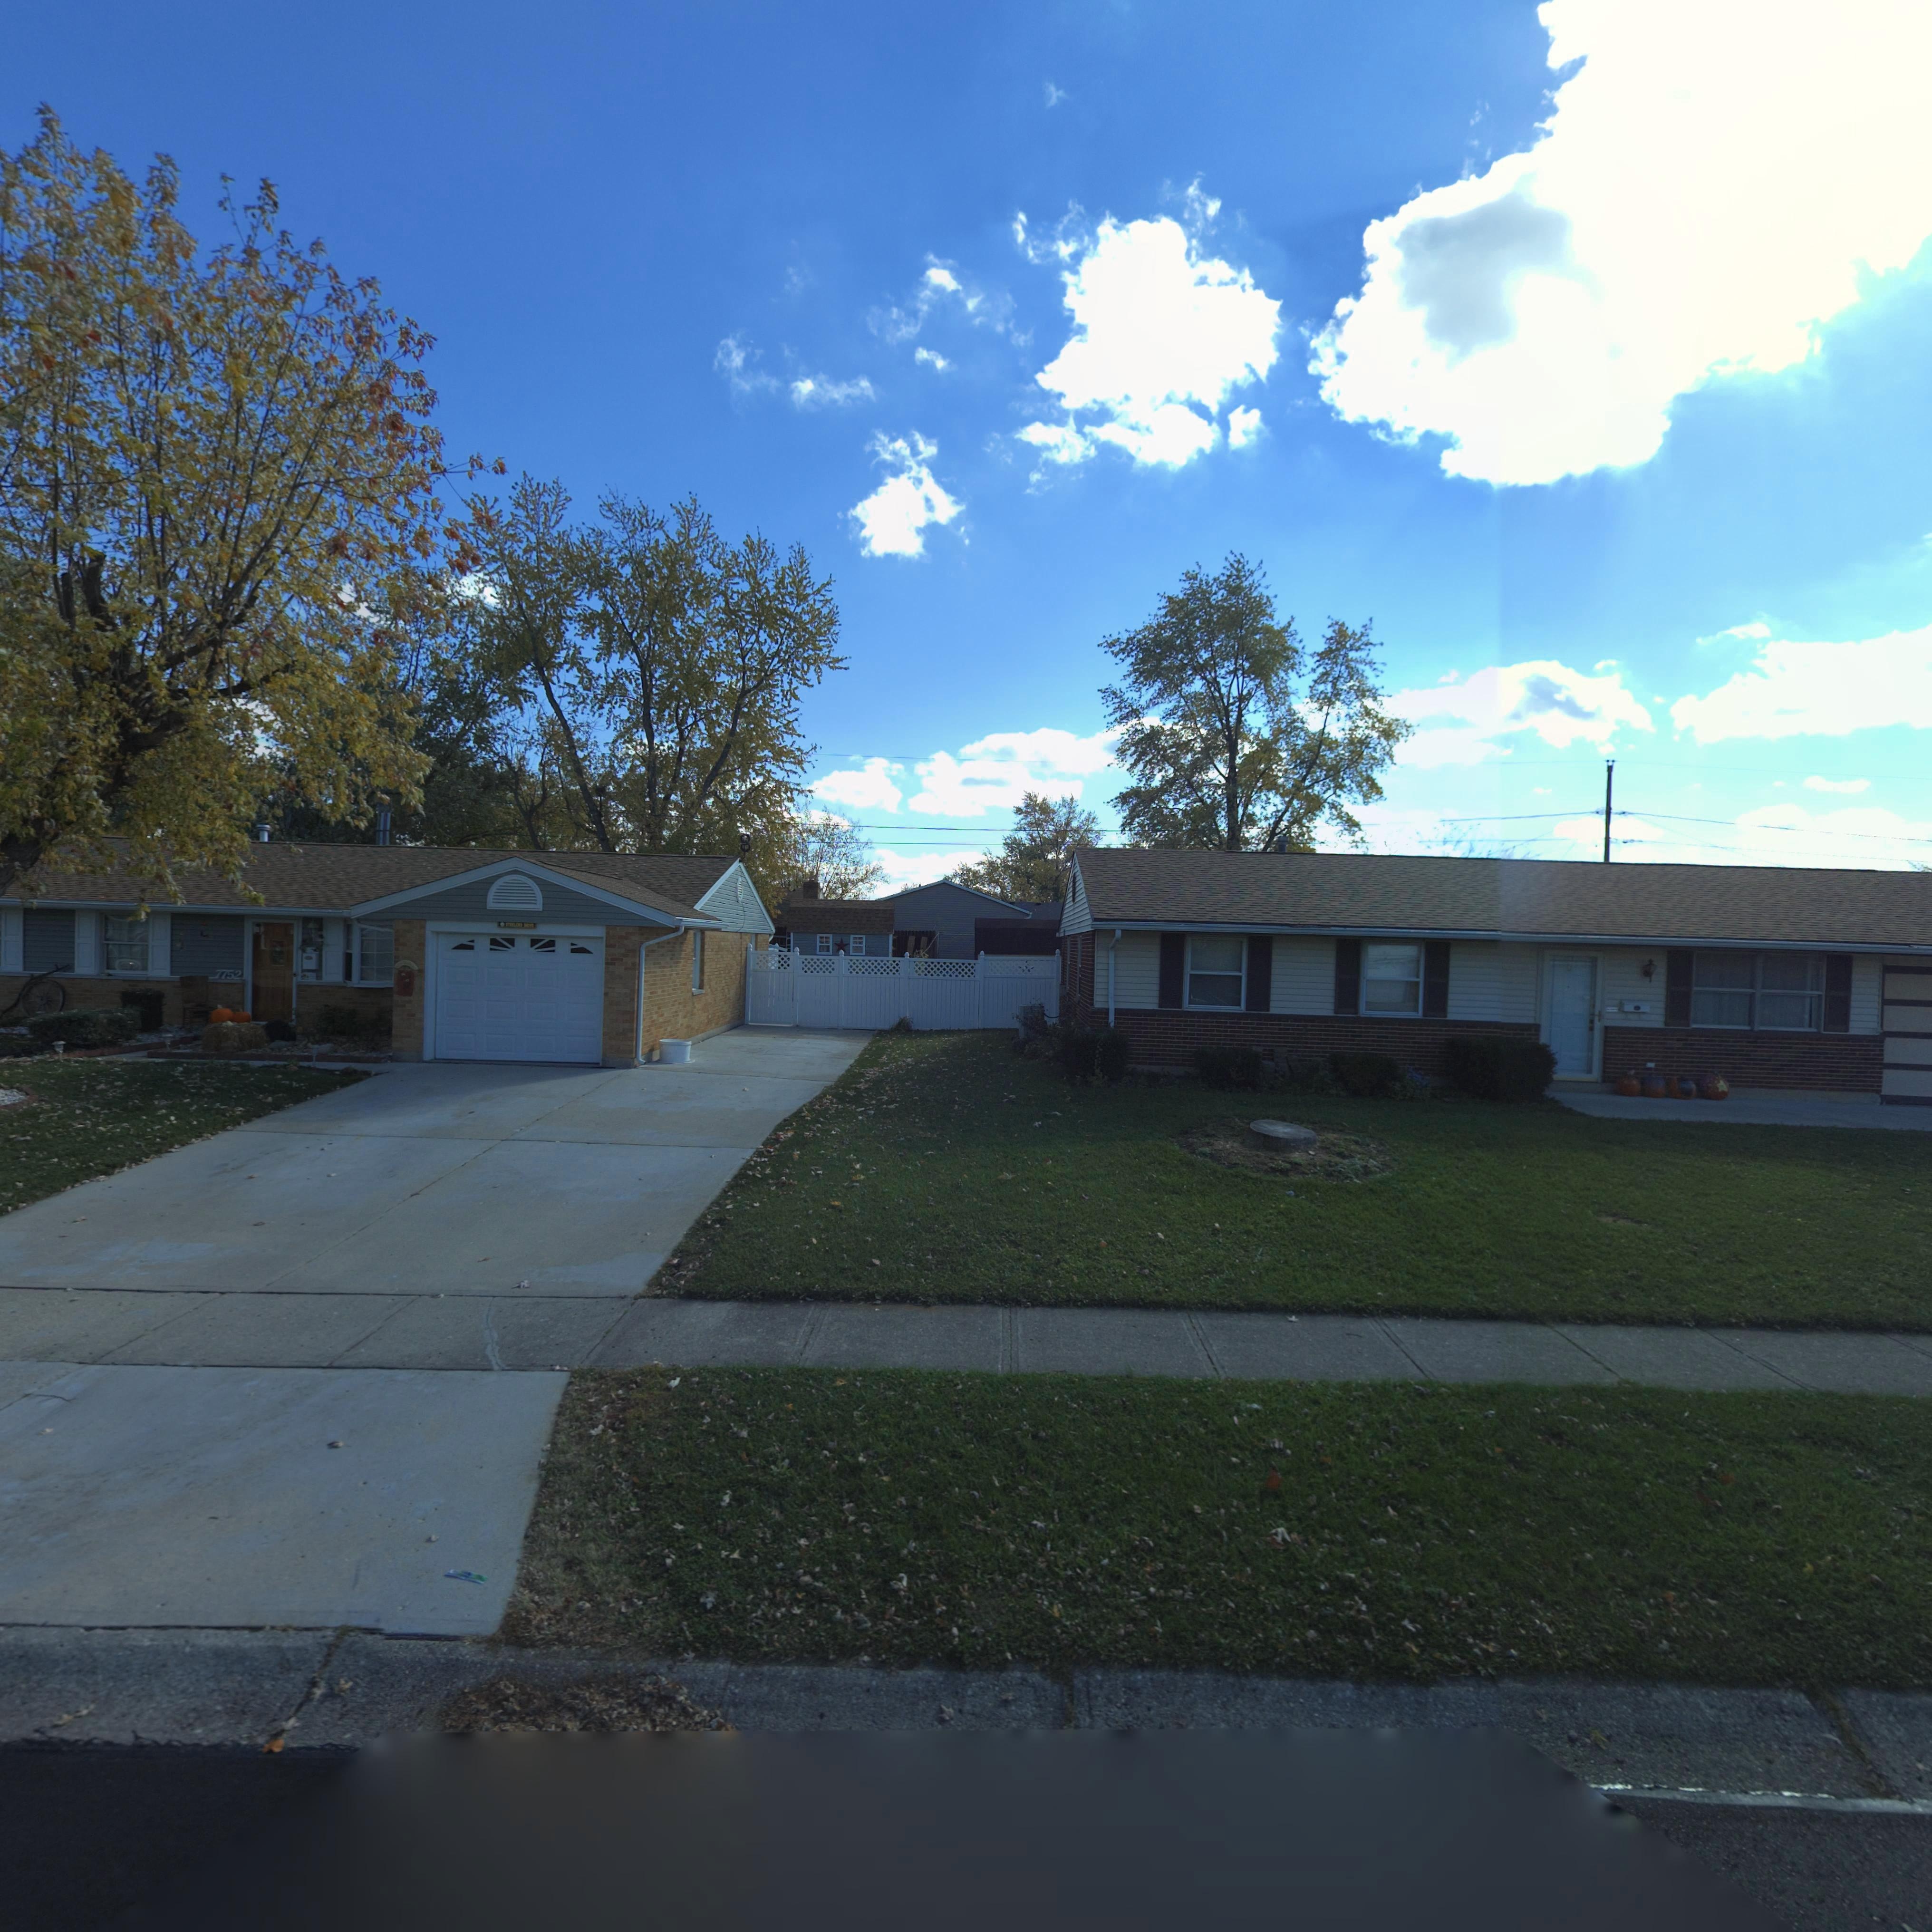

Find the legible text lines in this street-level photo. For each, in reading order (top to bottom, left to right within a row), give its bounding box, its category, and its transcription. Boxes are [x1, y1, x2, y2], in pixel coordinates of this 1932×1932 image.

[215, 969, 242, 980] StreetNumber: 7752